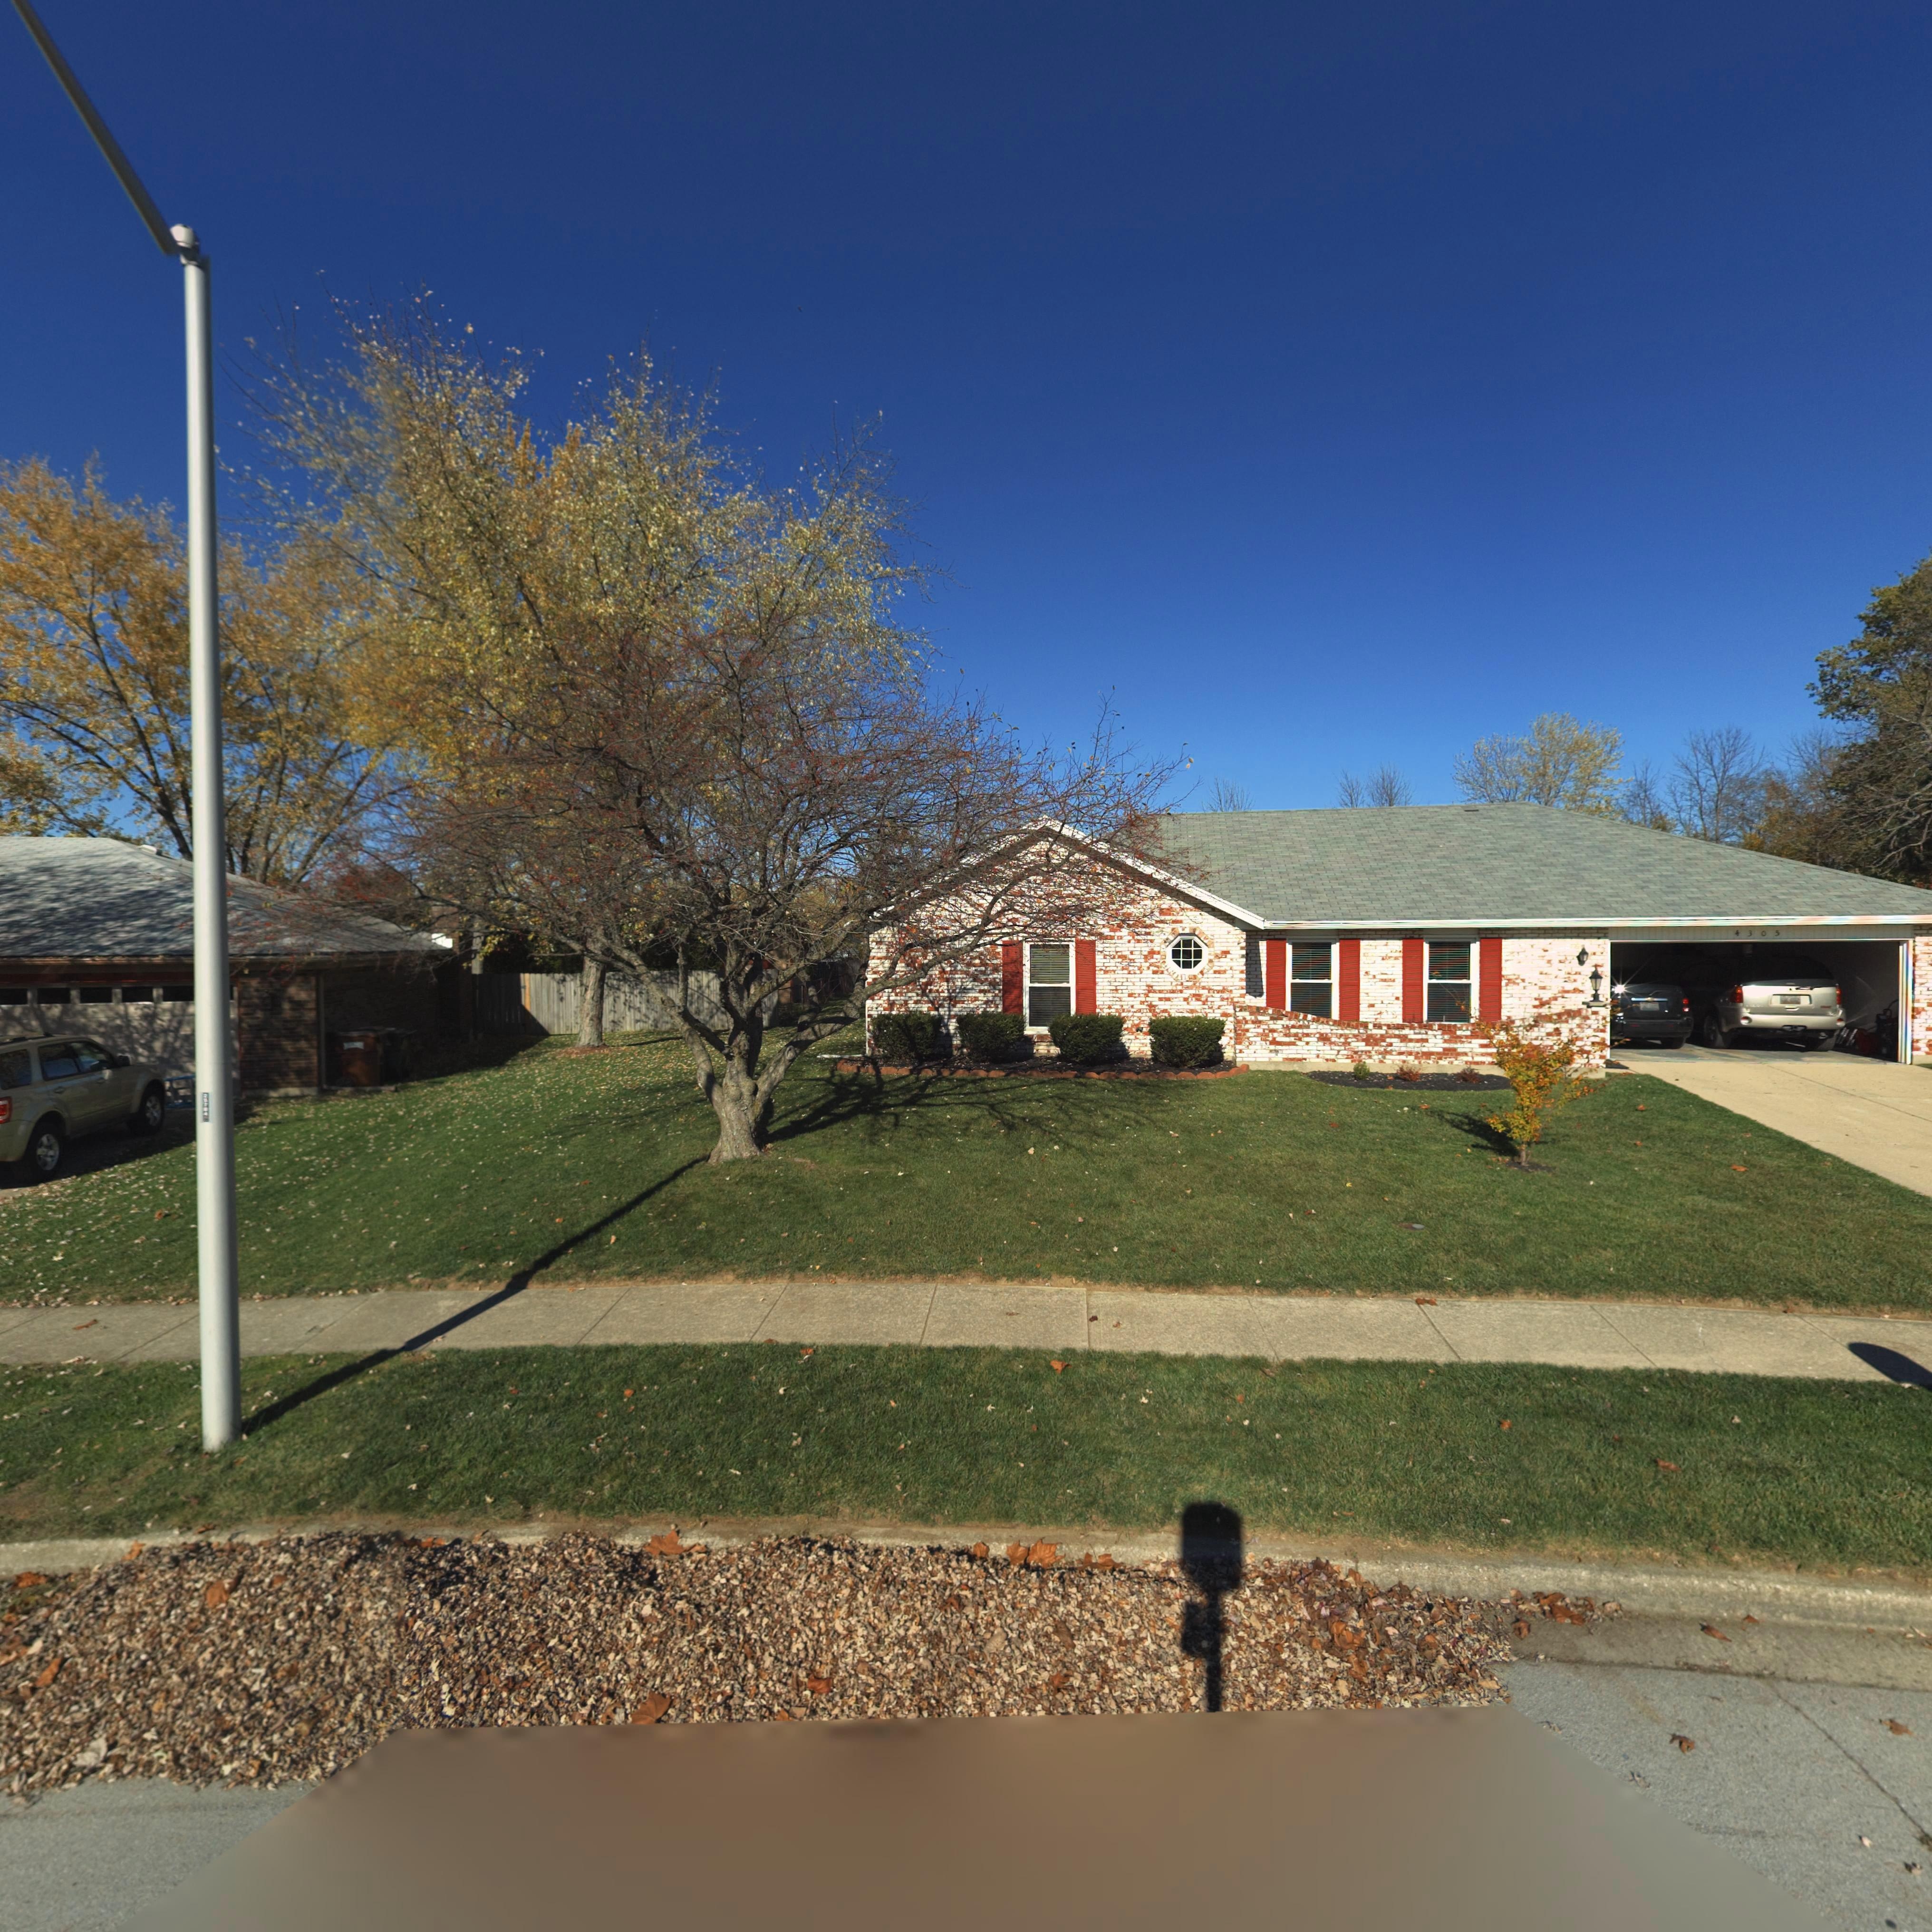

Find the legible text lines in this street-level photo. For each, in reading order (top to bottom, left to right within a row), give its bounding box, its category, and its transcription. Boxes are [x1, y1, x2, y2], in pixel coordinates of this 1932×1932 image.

[1734, 929, 1779, 937] StreetNumber: 4305